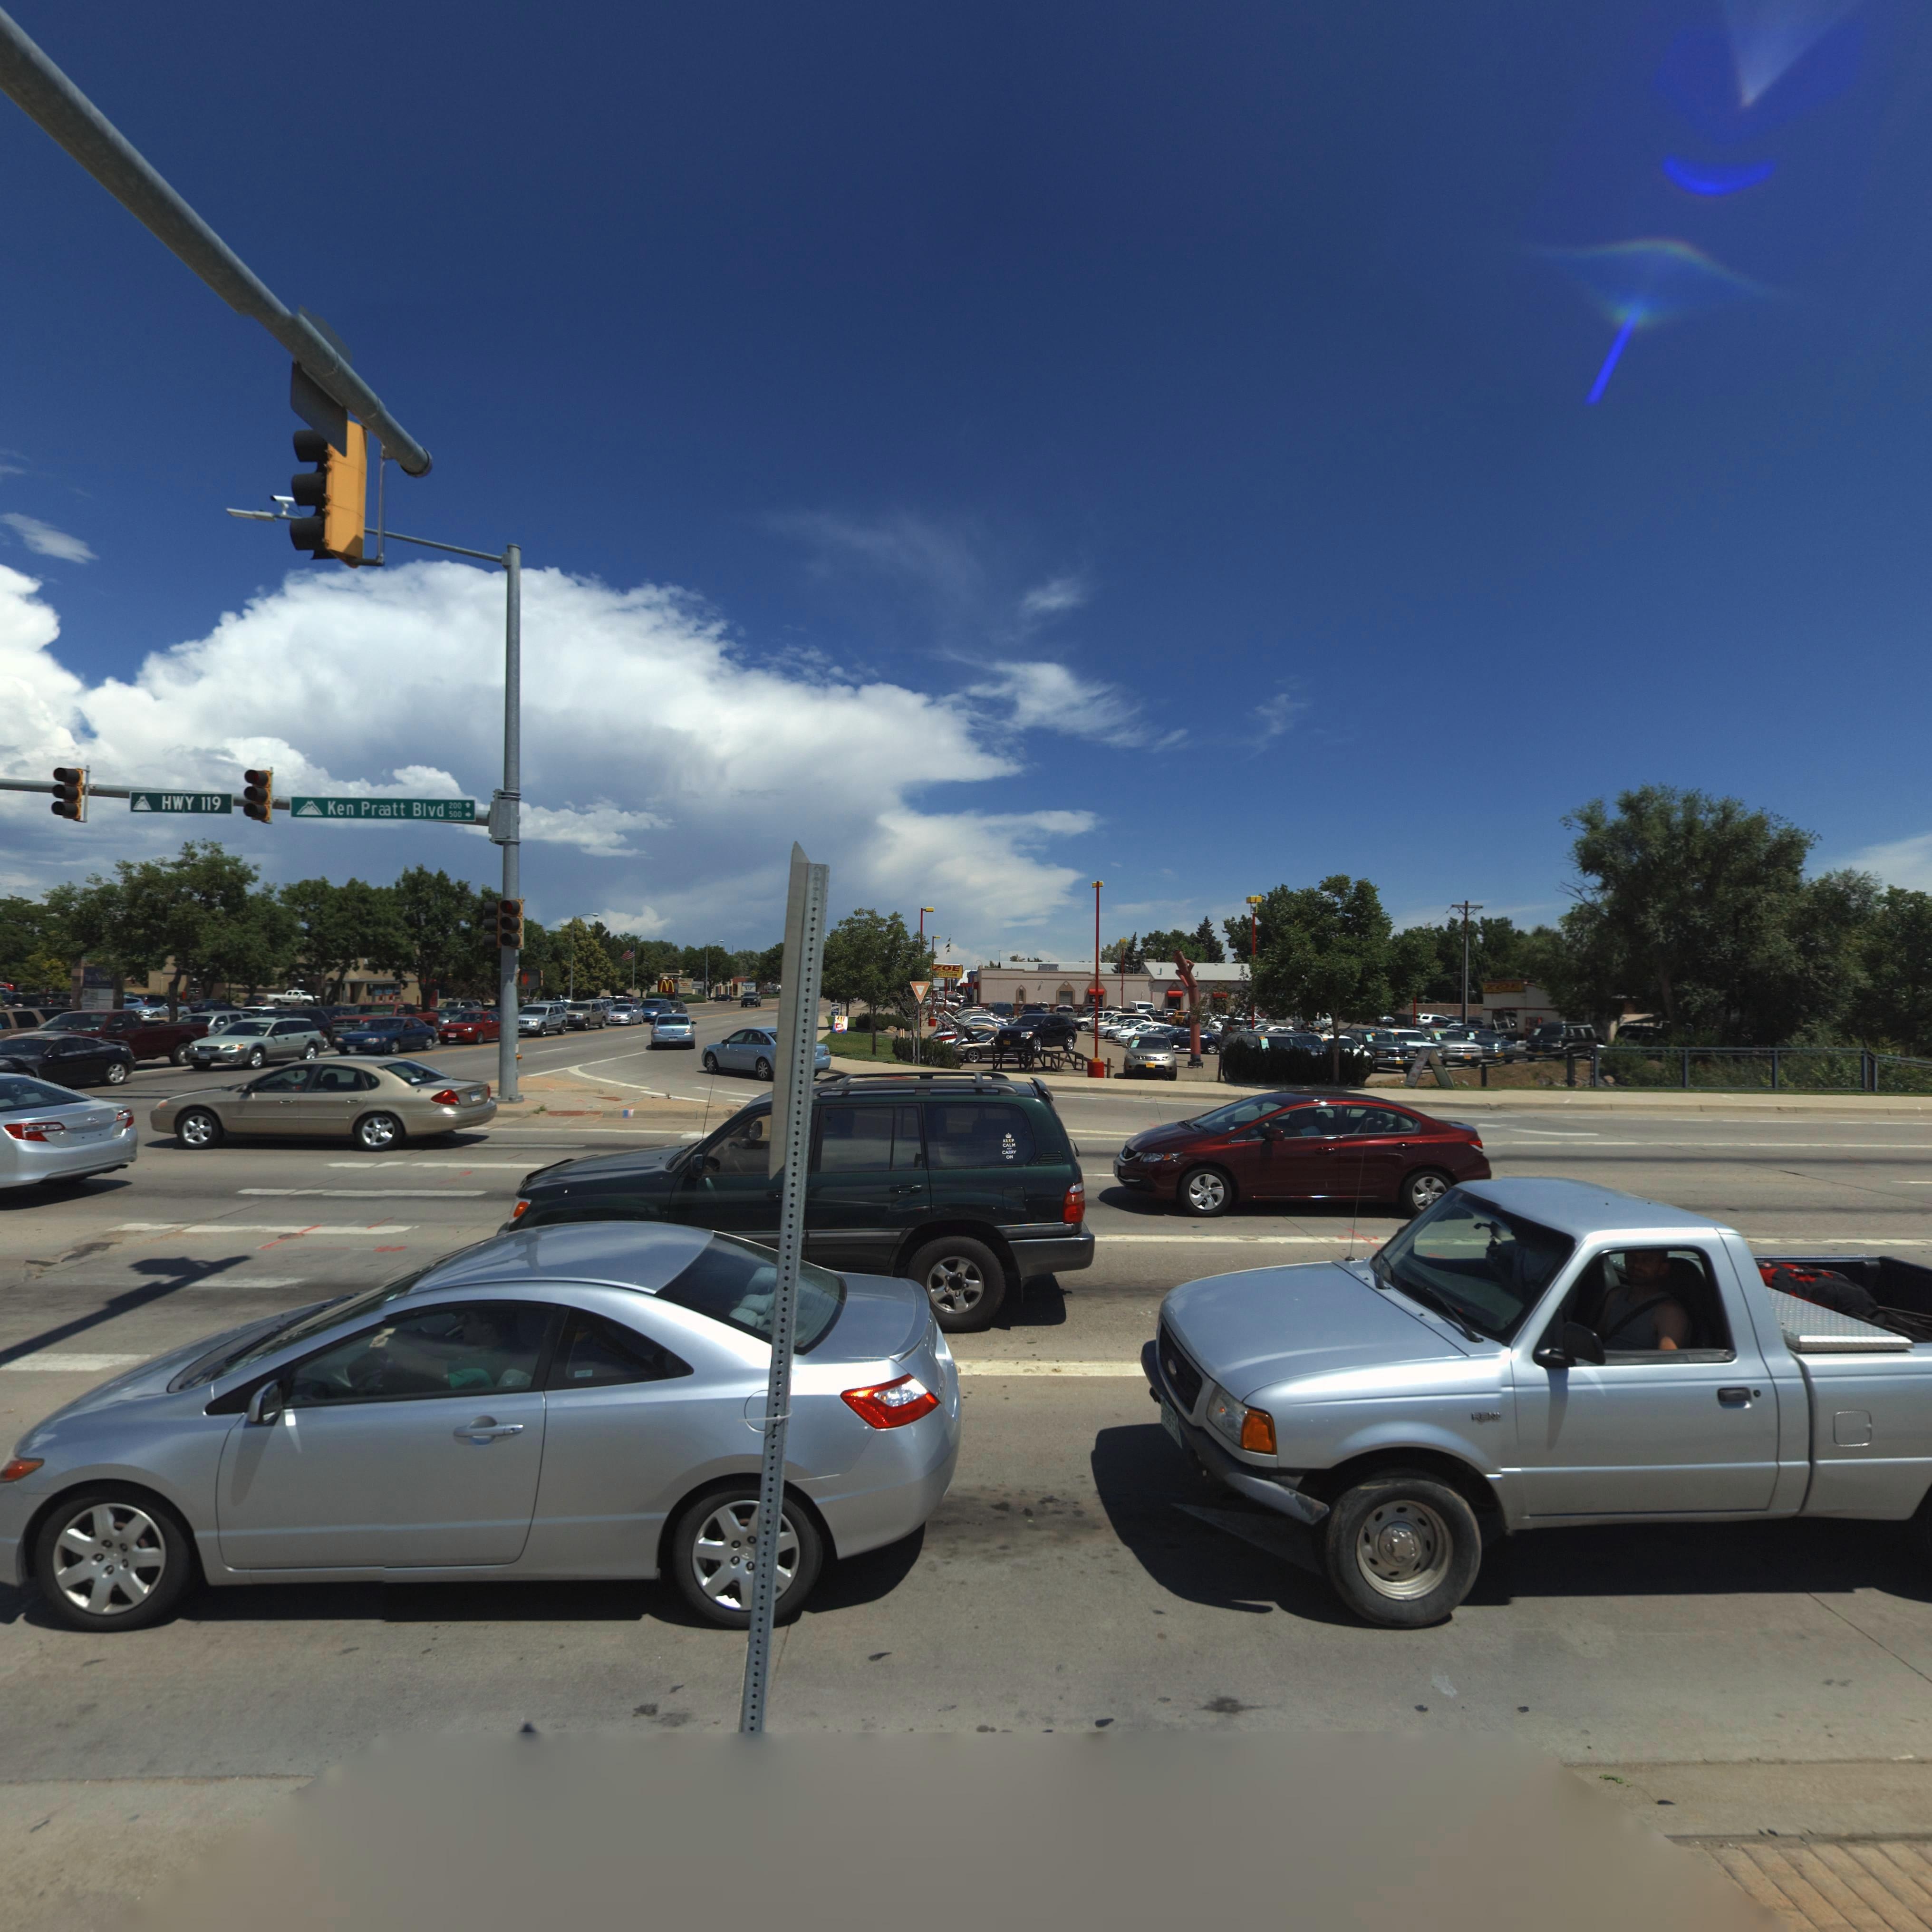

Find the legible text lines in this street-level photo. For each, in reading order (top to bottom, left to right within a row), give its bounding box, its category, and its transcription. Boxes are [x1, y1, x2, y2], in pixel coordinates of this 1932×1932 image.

[161, 795, 222, 811] StreetName: HWY 119
[328, 800, 444, 817] StreetName: Ken Praatt  Blvd
[448, 802, 462, 809] StreetNumberRange: 200
[448, 811, 472, 818] StreetNumberRange: 500->
[934, 965, 960, 971] BusinessName: ZOE